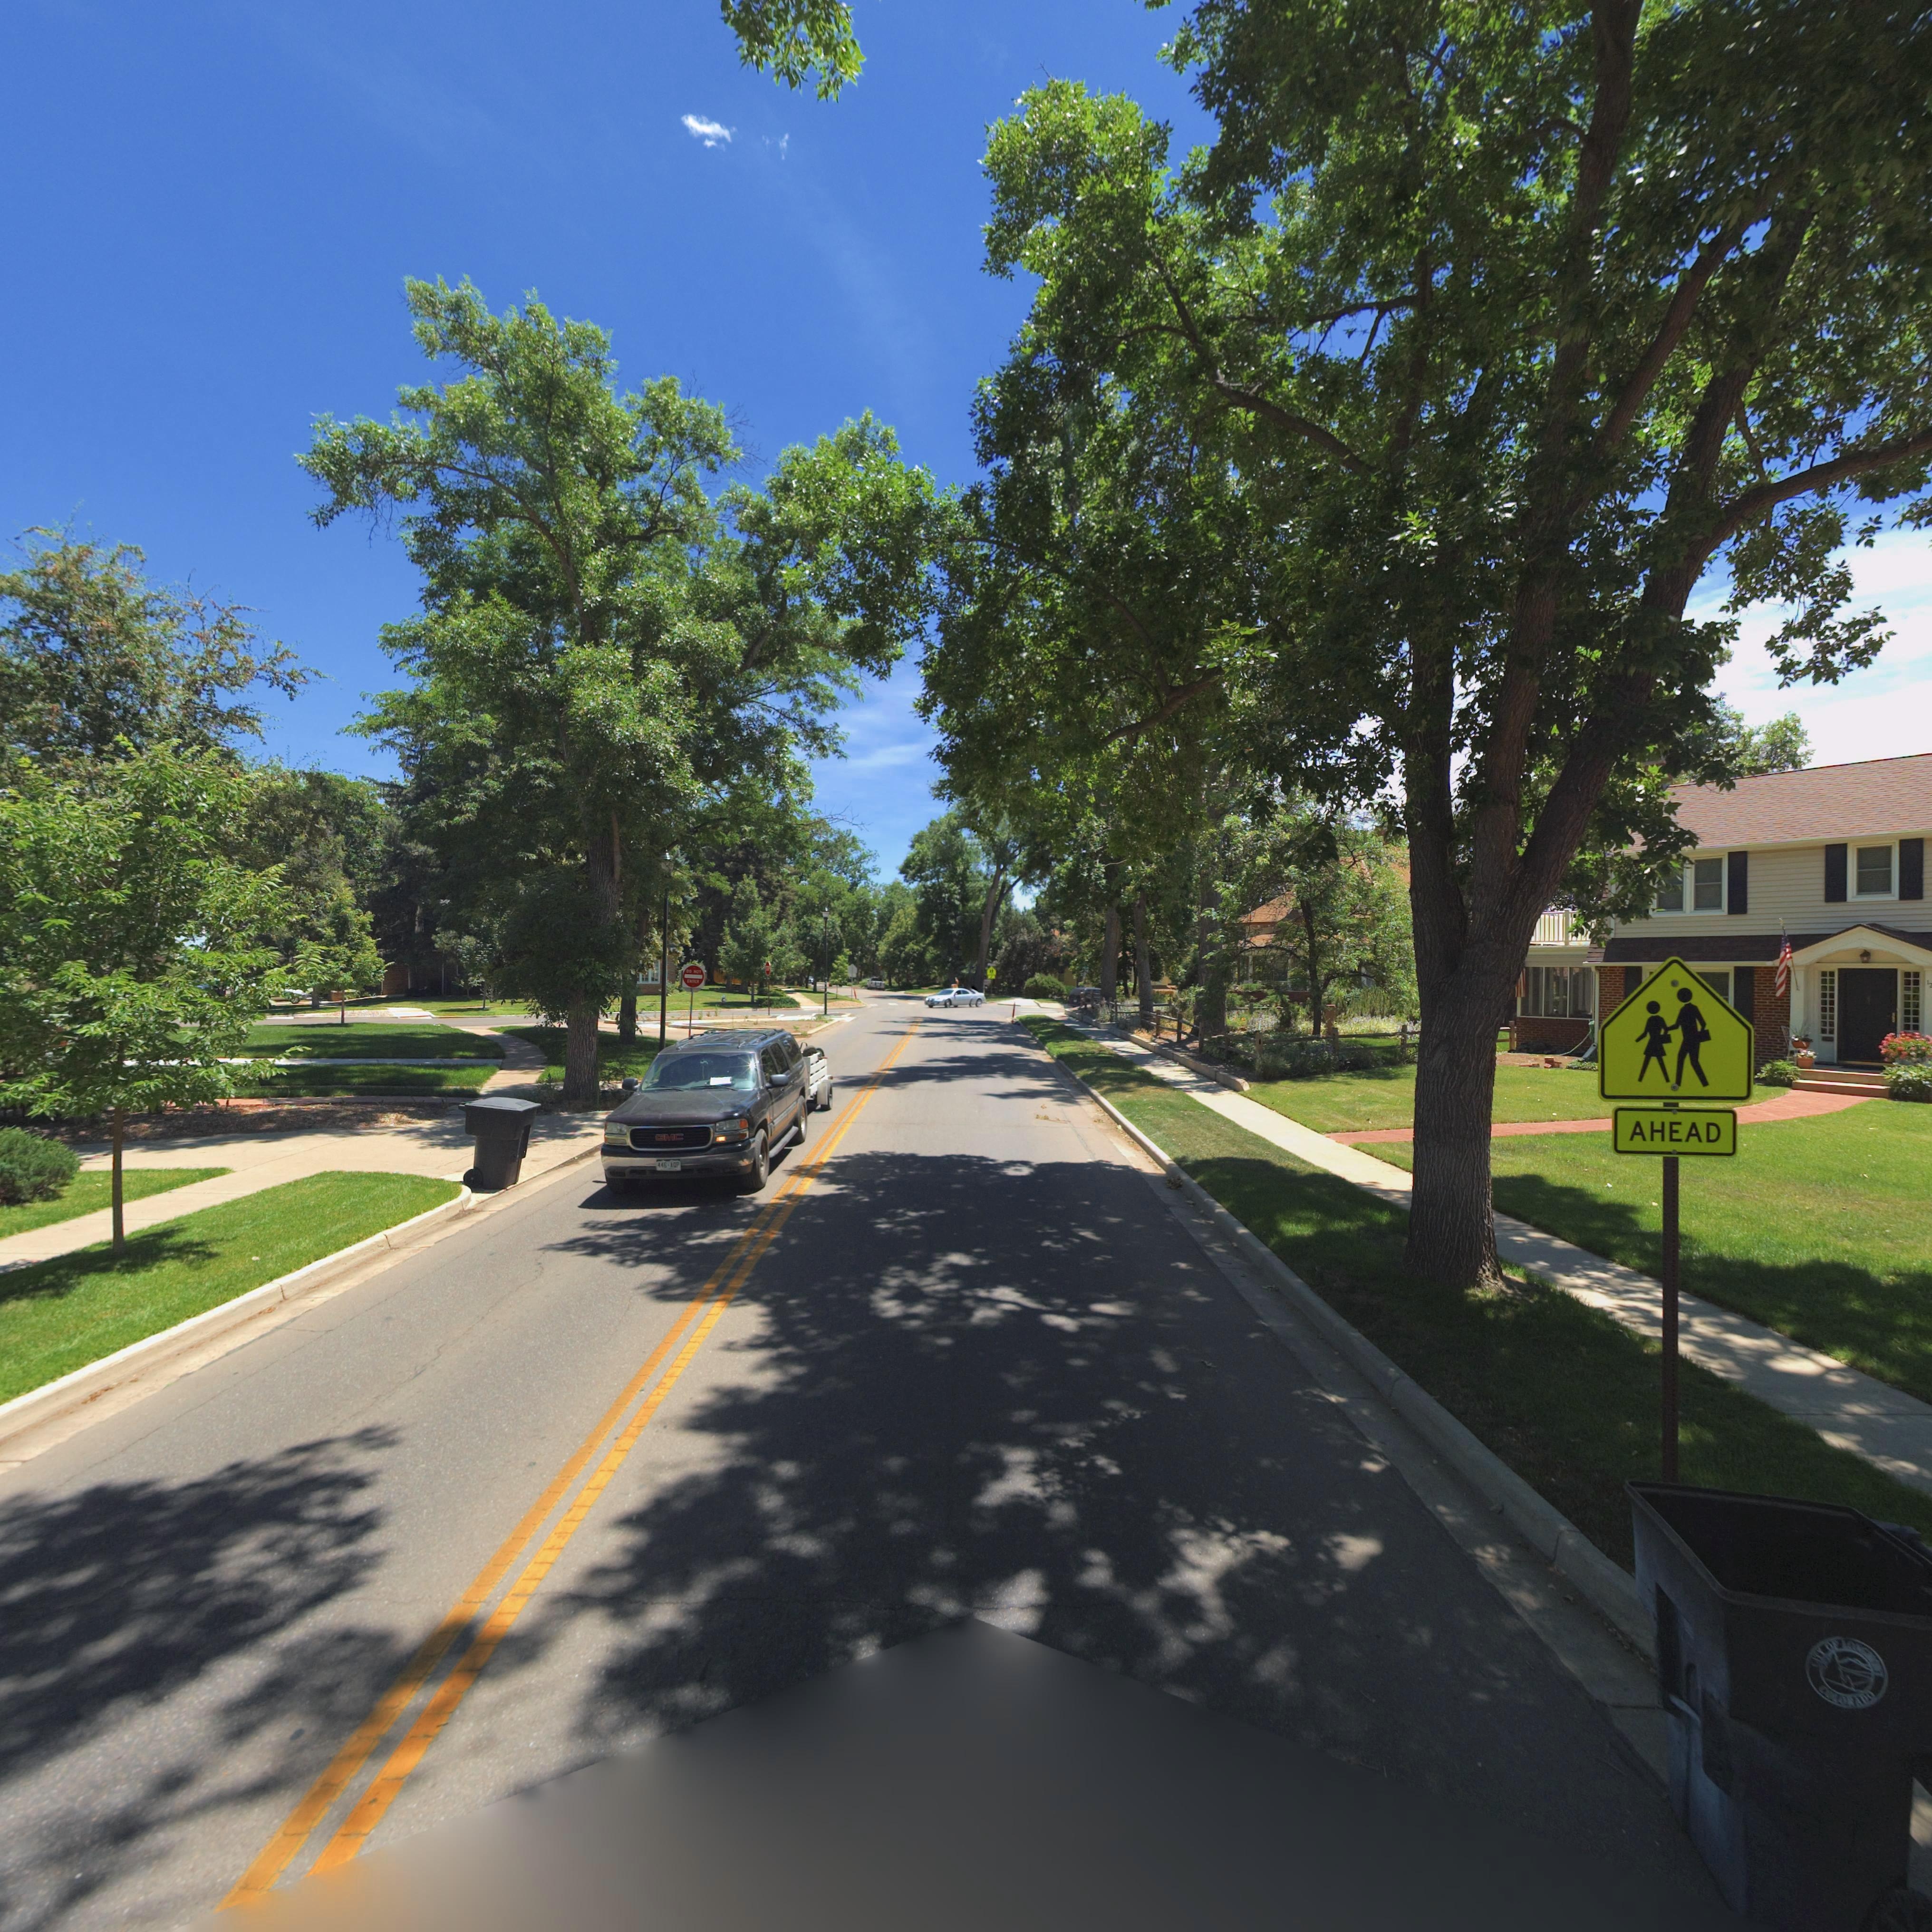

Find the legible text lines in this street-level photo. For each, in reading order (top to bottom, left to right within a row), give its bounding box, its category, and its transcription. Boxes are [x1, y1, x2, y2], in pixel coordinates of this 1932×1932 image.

[1926, 979, 1929, 985] StreetNumber: 1